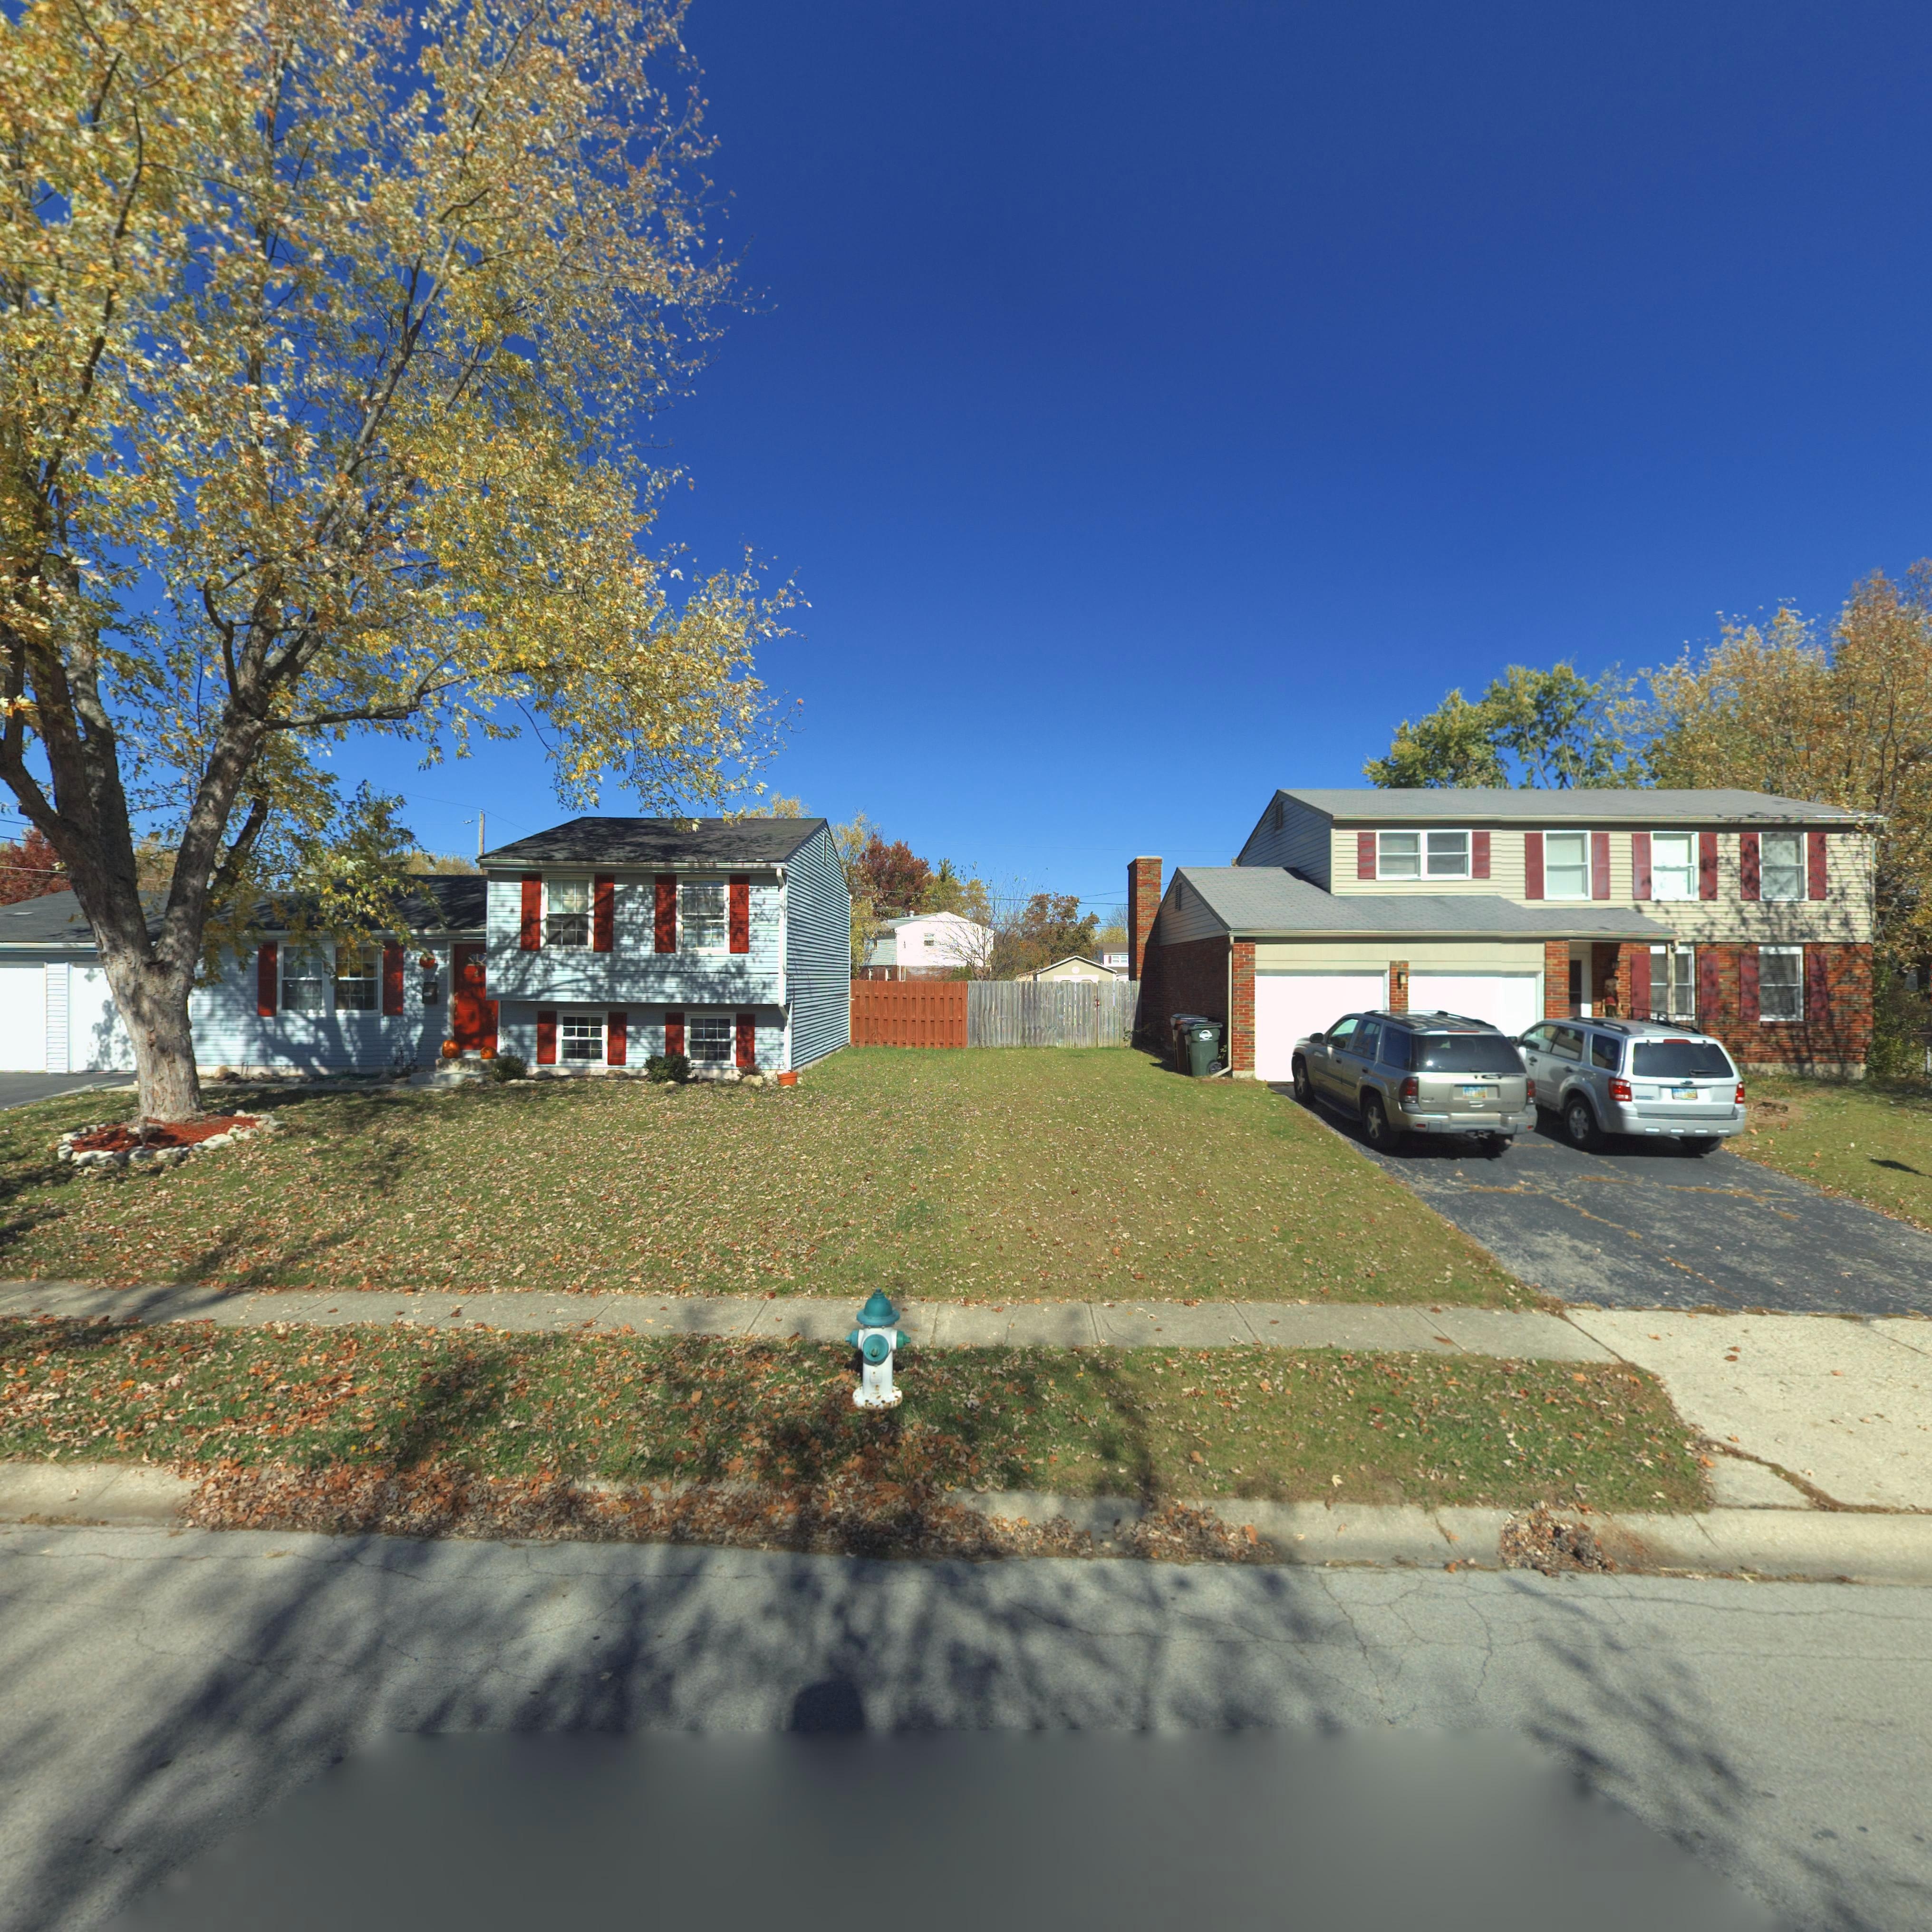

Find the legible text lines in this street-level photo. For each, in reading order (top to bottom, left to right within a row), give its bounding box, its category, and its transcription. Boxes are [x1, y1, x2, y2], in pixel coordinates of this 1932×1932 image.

[424, 974, 439, 981] StreetNumber: 266